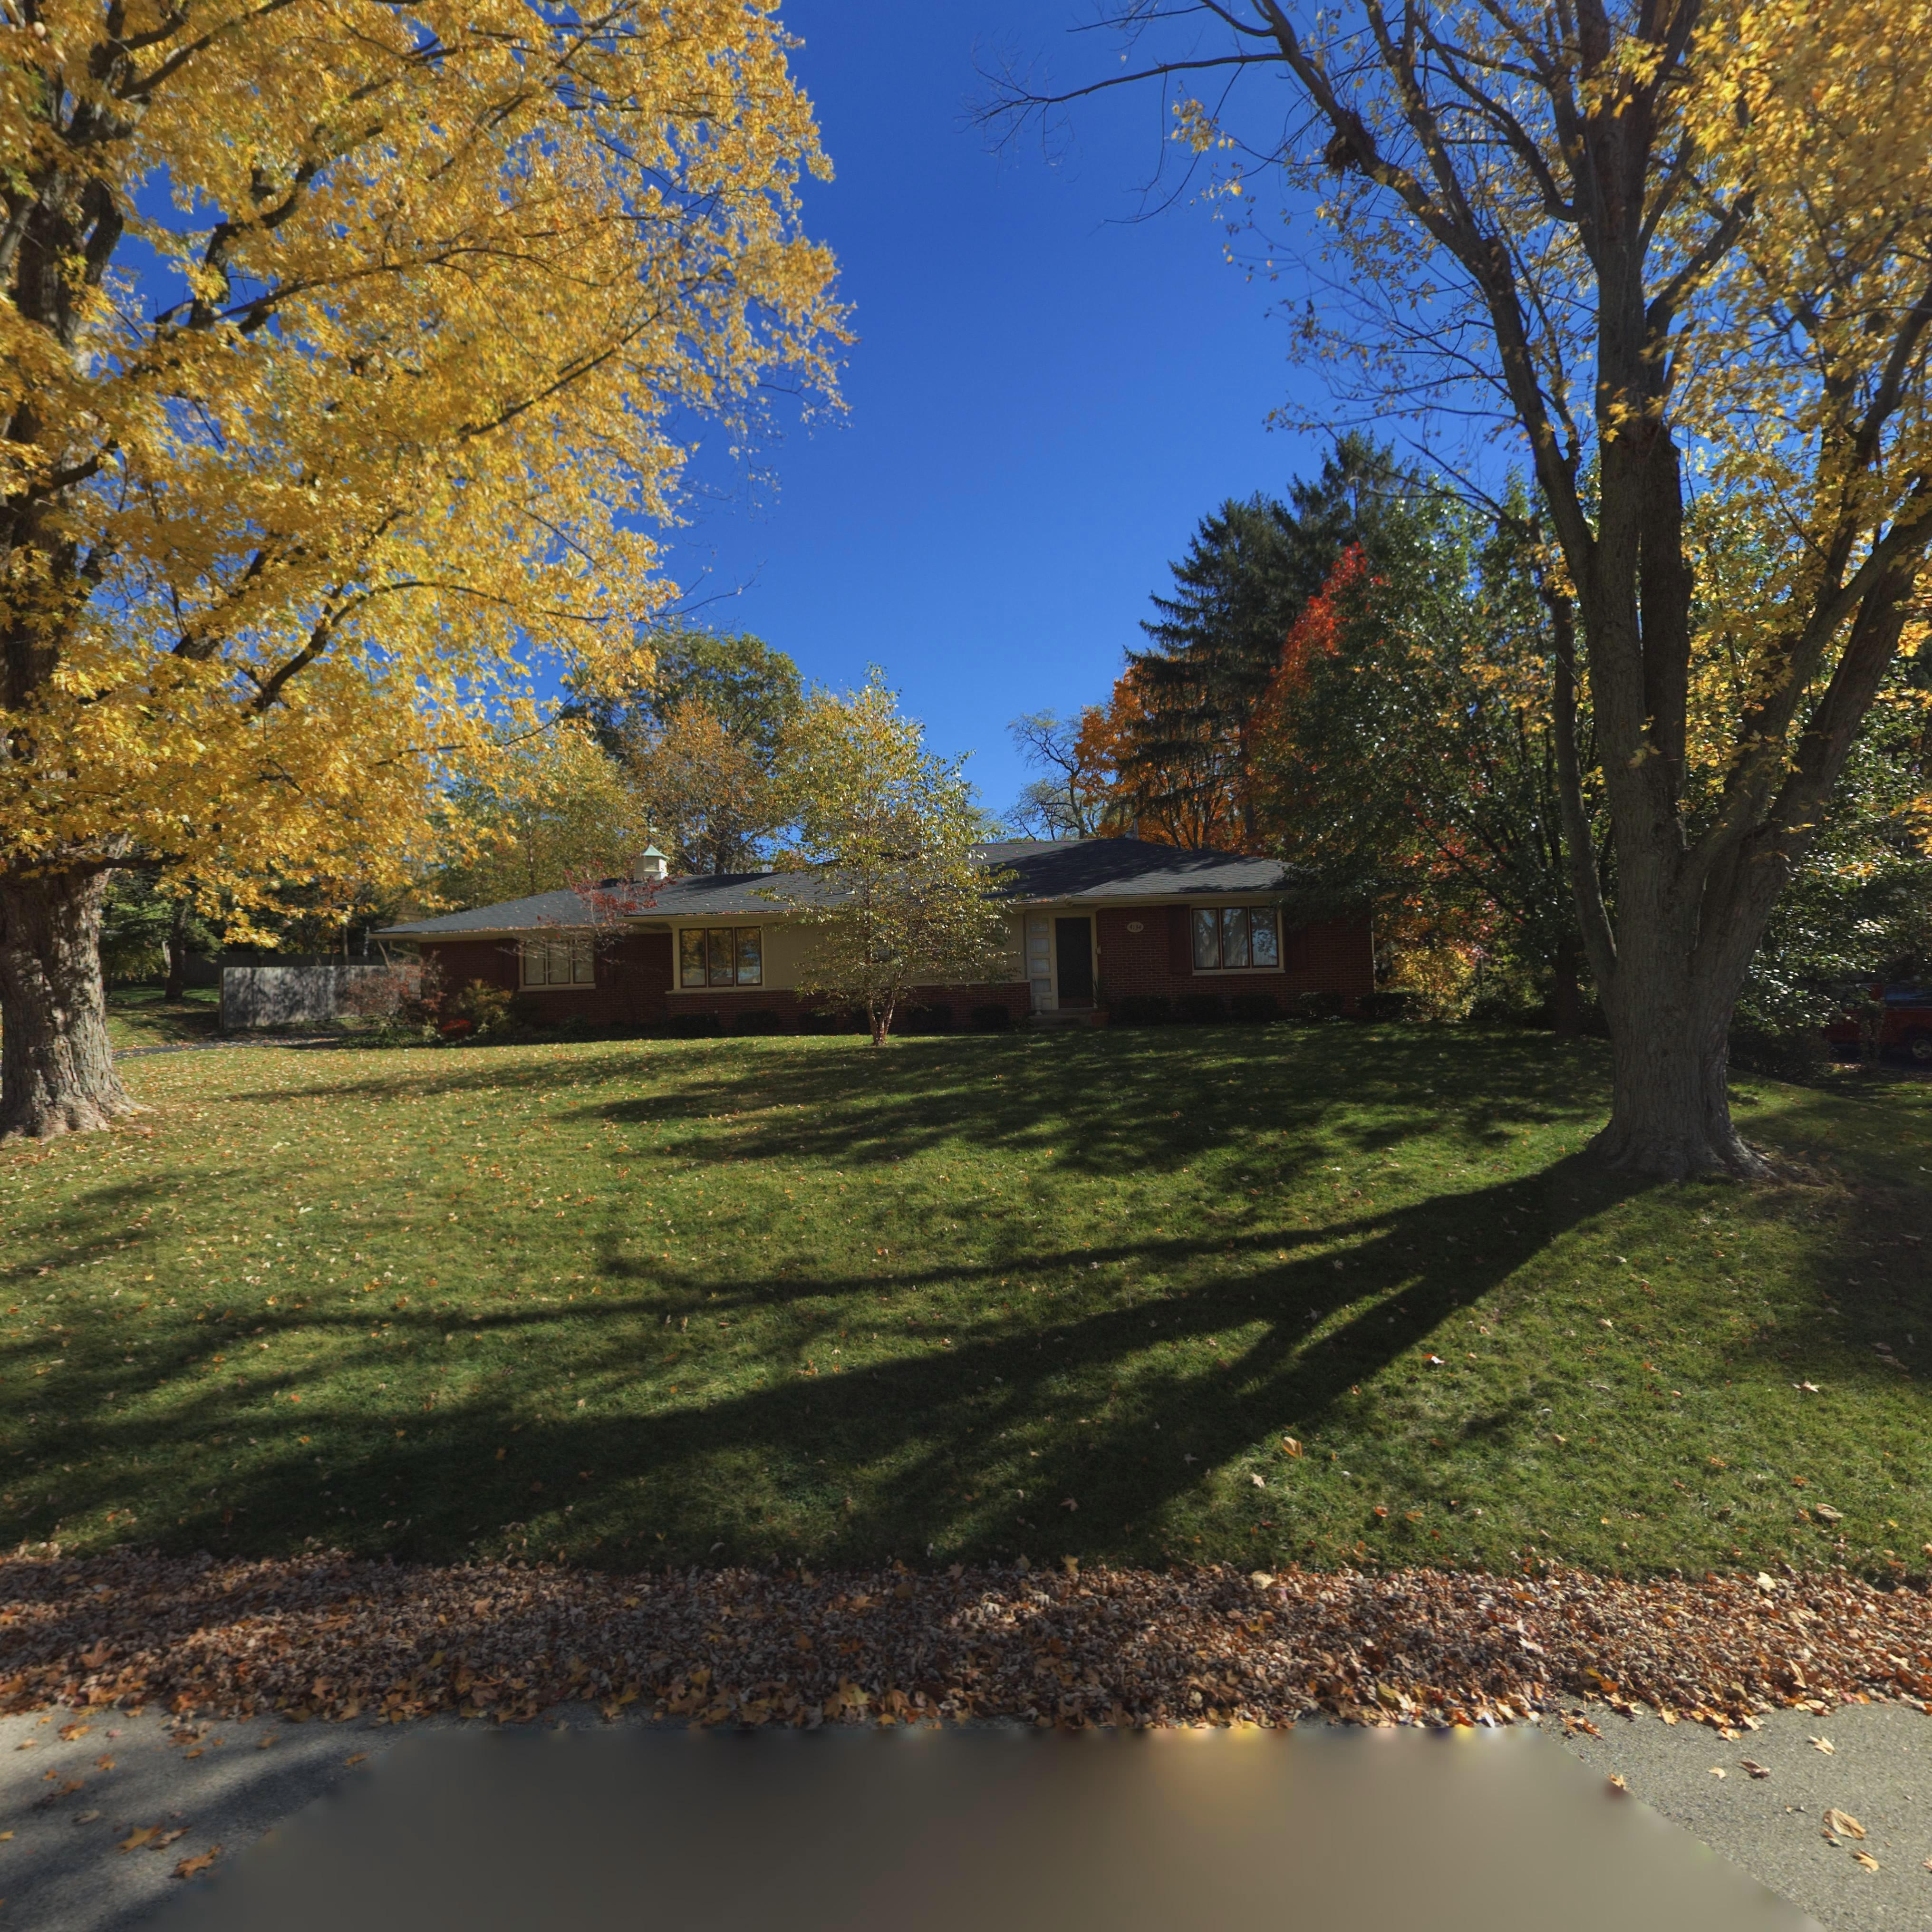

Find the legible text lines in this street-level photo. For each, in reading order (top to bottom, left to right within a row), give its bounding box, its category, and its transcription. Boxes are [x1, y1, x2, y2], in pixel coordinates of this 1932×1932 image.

[1129, 924, 1142, 931] StreetNumber: 4134